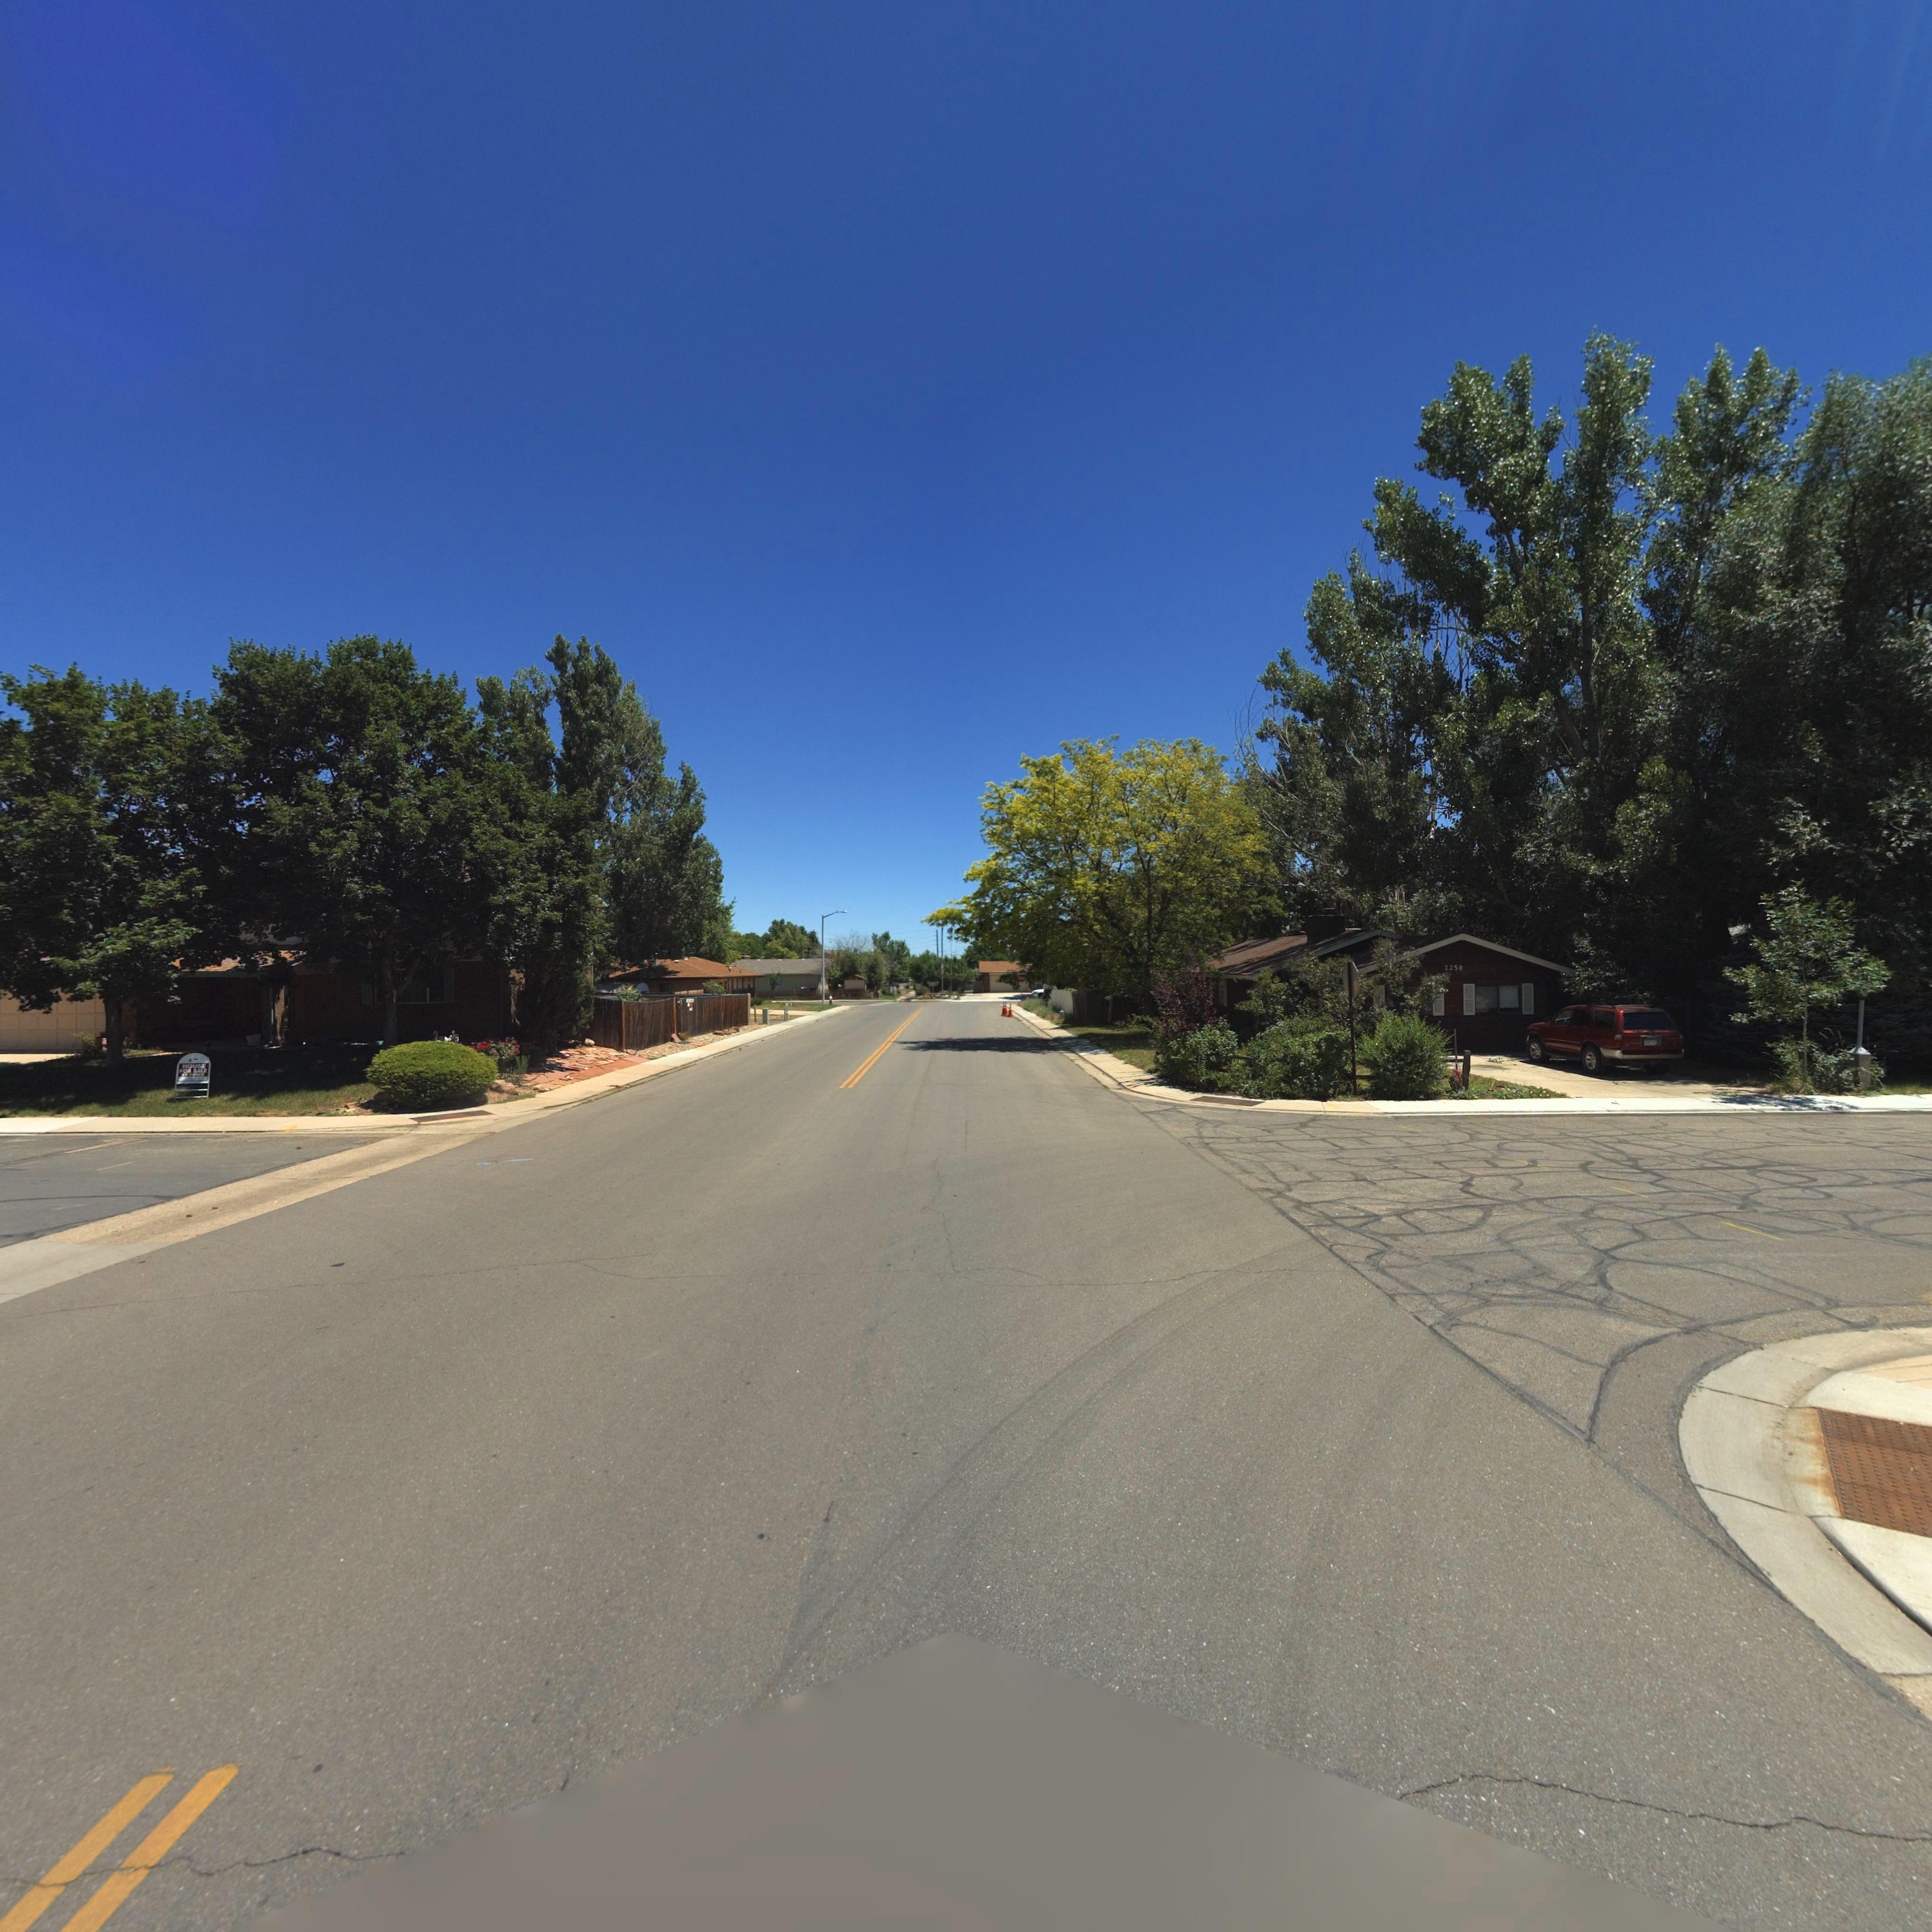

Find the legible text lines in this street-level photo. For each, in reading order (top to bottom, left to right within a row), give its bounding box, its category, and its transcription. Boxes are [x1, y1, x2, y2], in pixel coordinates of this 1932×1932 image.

[1444, 964, 1463, 971] StreetNumber: 2250